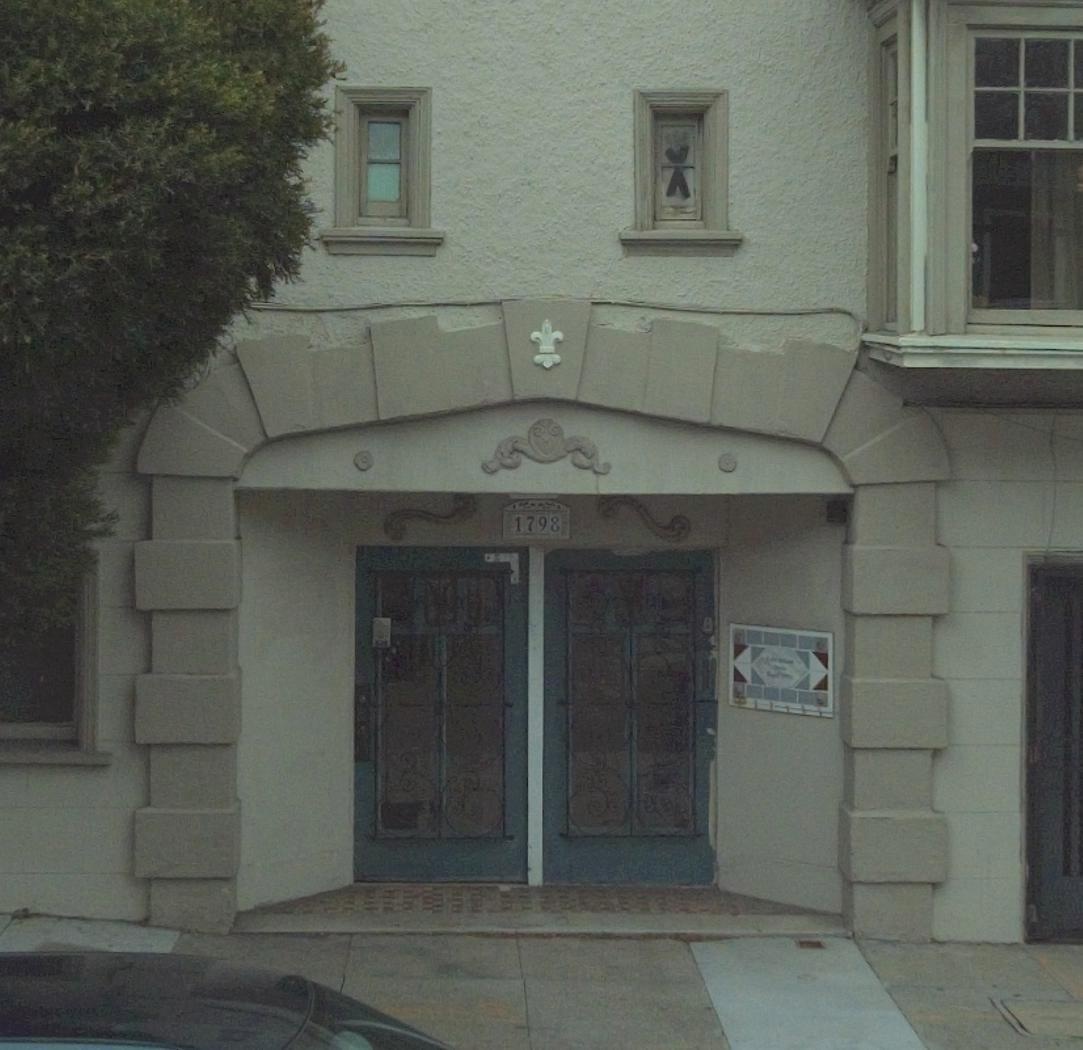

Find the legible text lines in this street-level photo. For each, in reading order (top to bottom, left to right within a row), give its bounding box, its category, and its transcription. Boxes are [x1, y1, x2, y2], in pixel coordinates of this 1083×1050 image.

[664, 145, 693, 201] None: X
[514, 515, 561, 533] StreetNumber: 1798